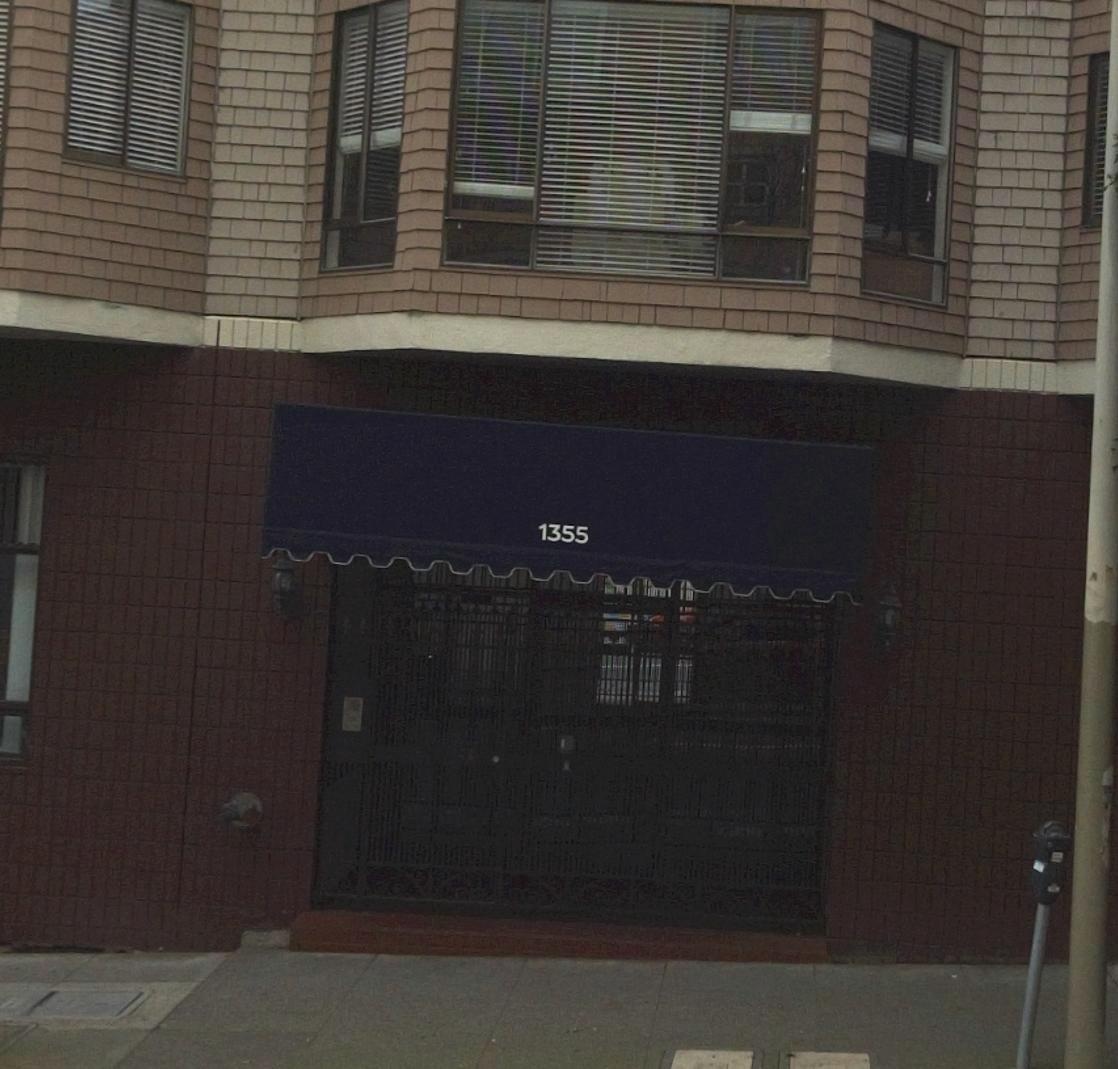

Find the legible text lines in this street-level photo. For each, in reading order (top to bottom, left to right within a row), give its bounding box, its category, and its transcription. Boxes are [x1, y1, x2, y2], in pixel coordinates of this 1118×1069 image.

[536, 522, 591, 546] StreetNumber: 1355